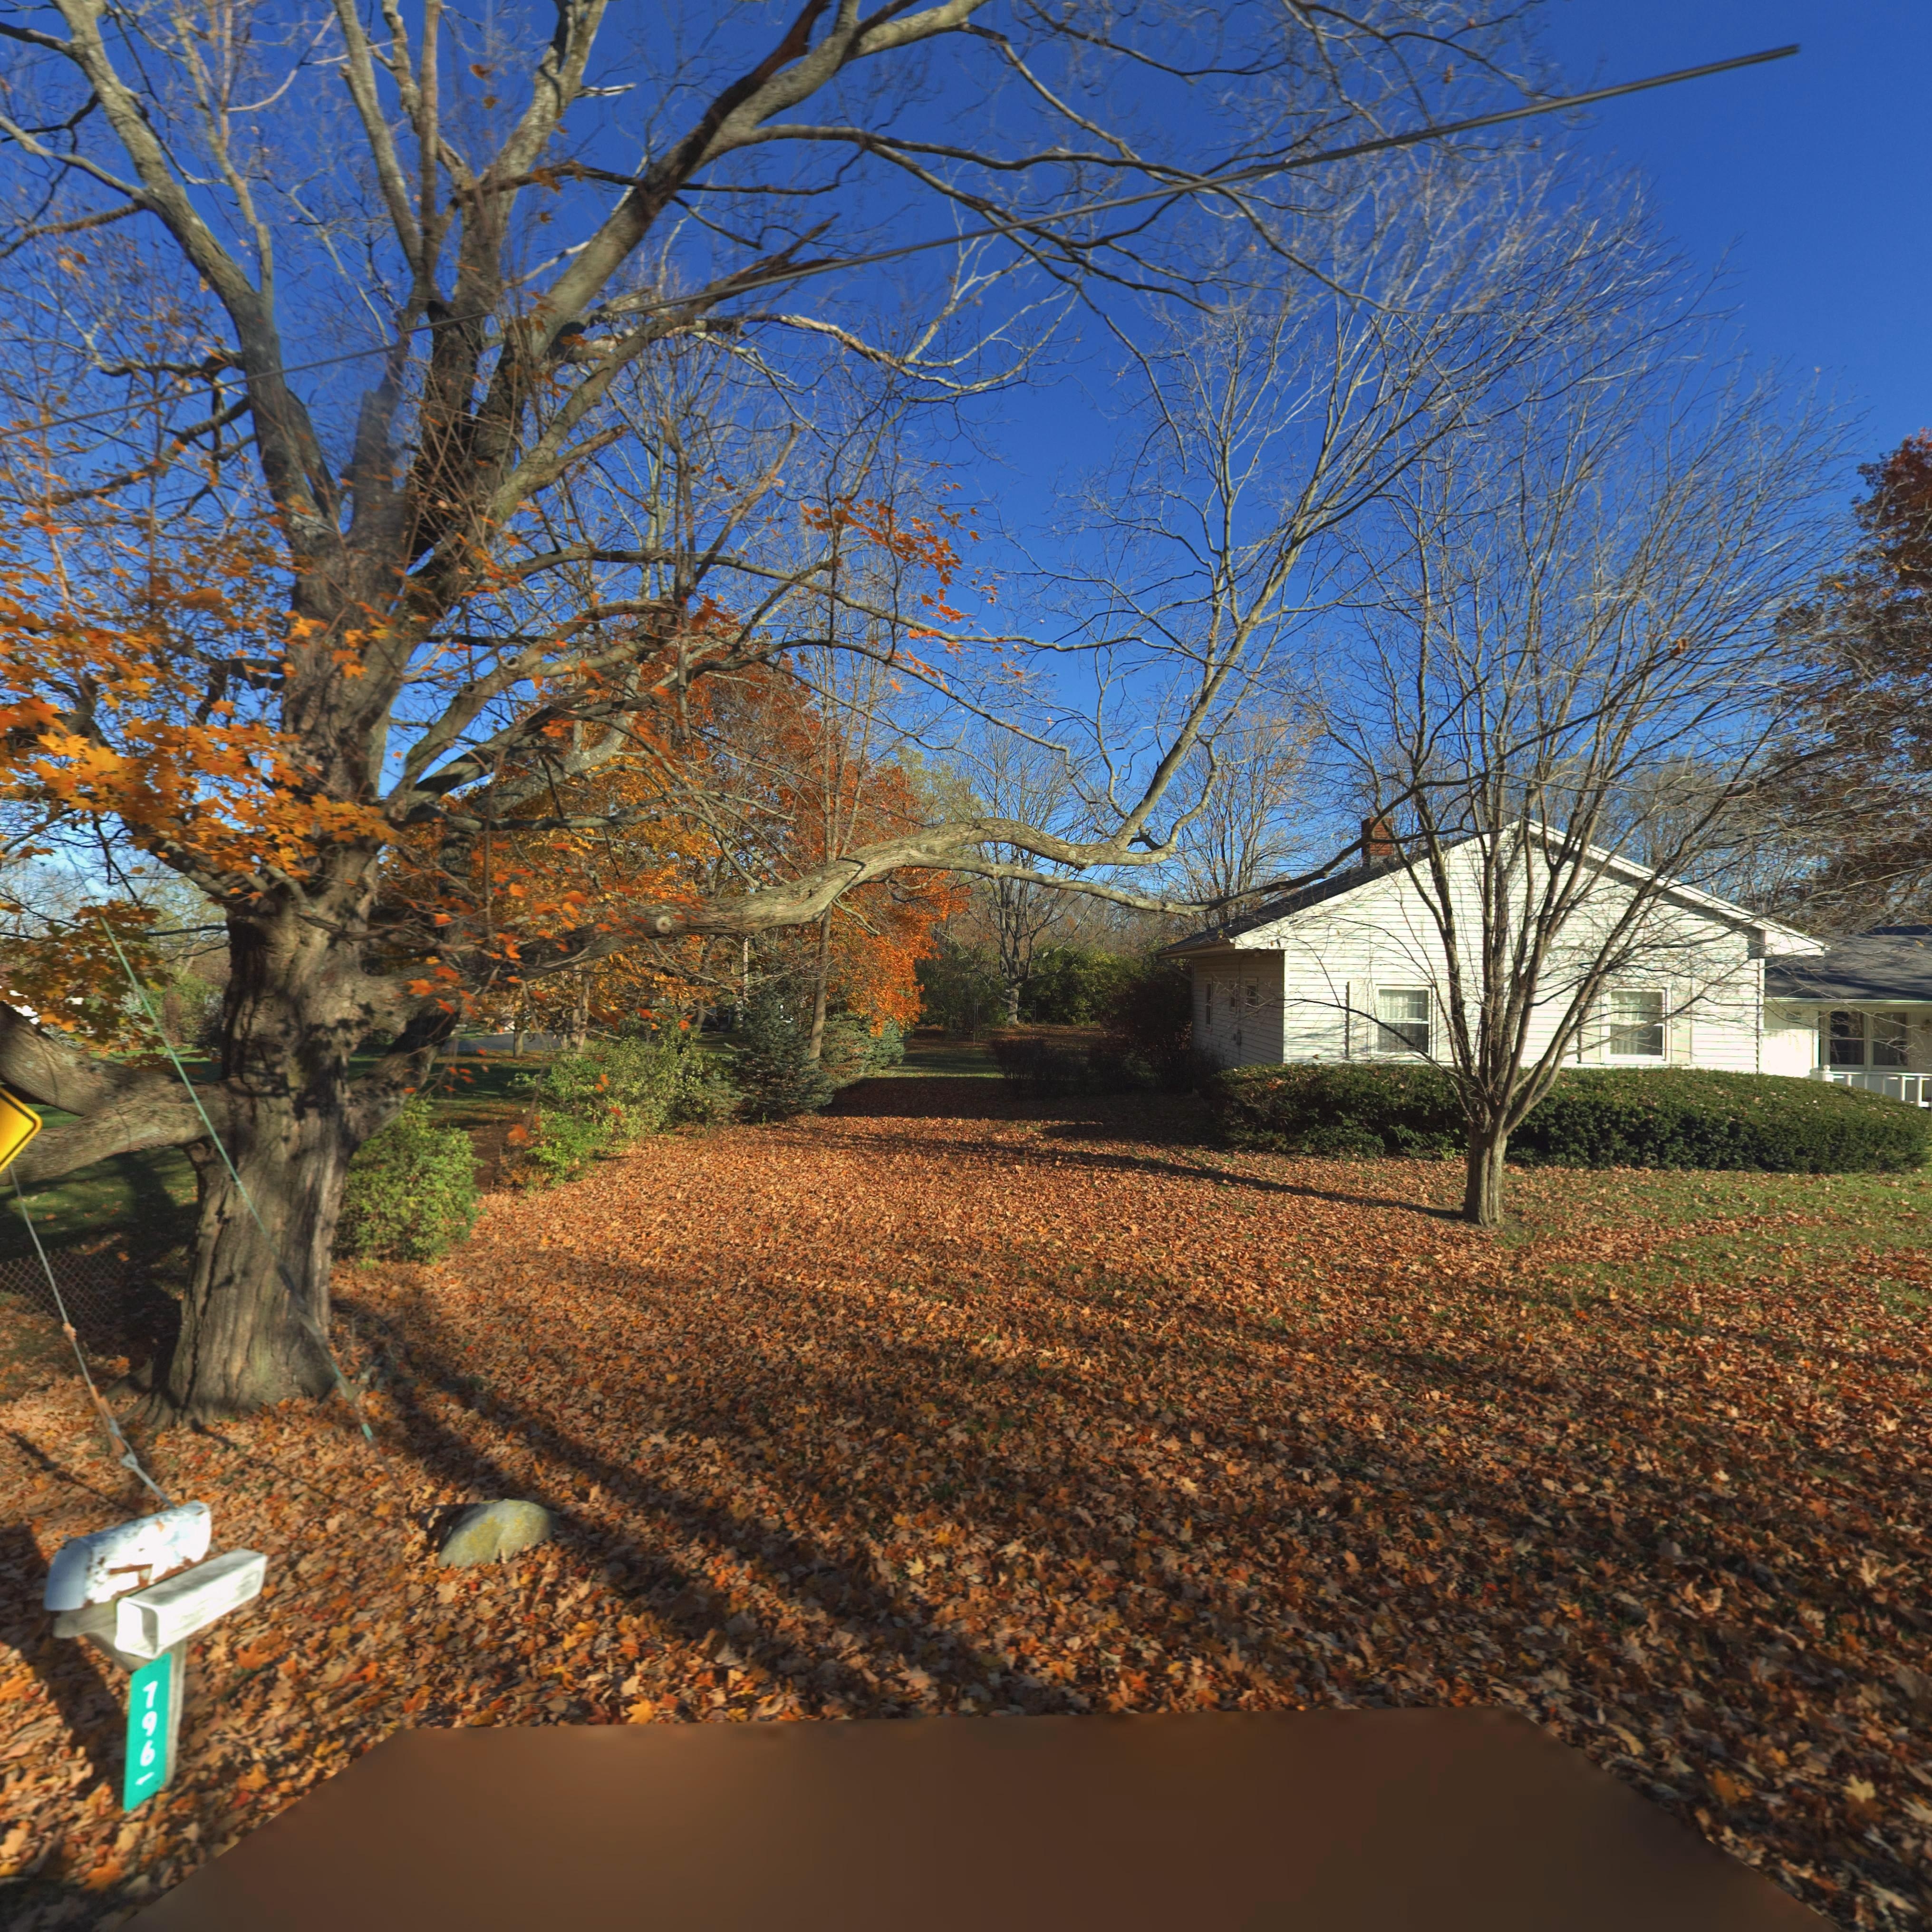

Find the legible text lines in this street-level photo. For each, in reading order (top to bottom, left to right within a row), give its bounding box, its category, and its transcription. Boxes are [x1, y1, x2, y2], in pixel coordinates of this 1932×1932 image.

[139, 1679, 160, 1768] StreetNumber: 796